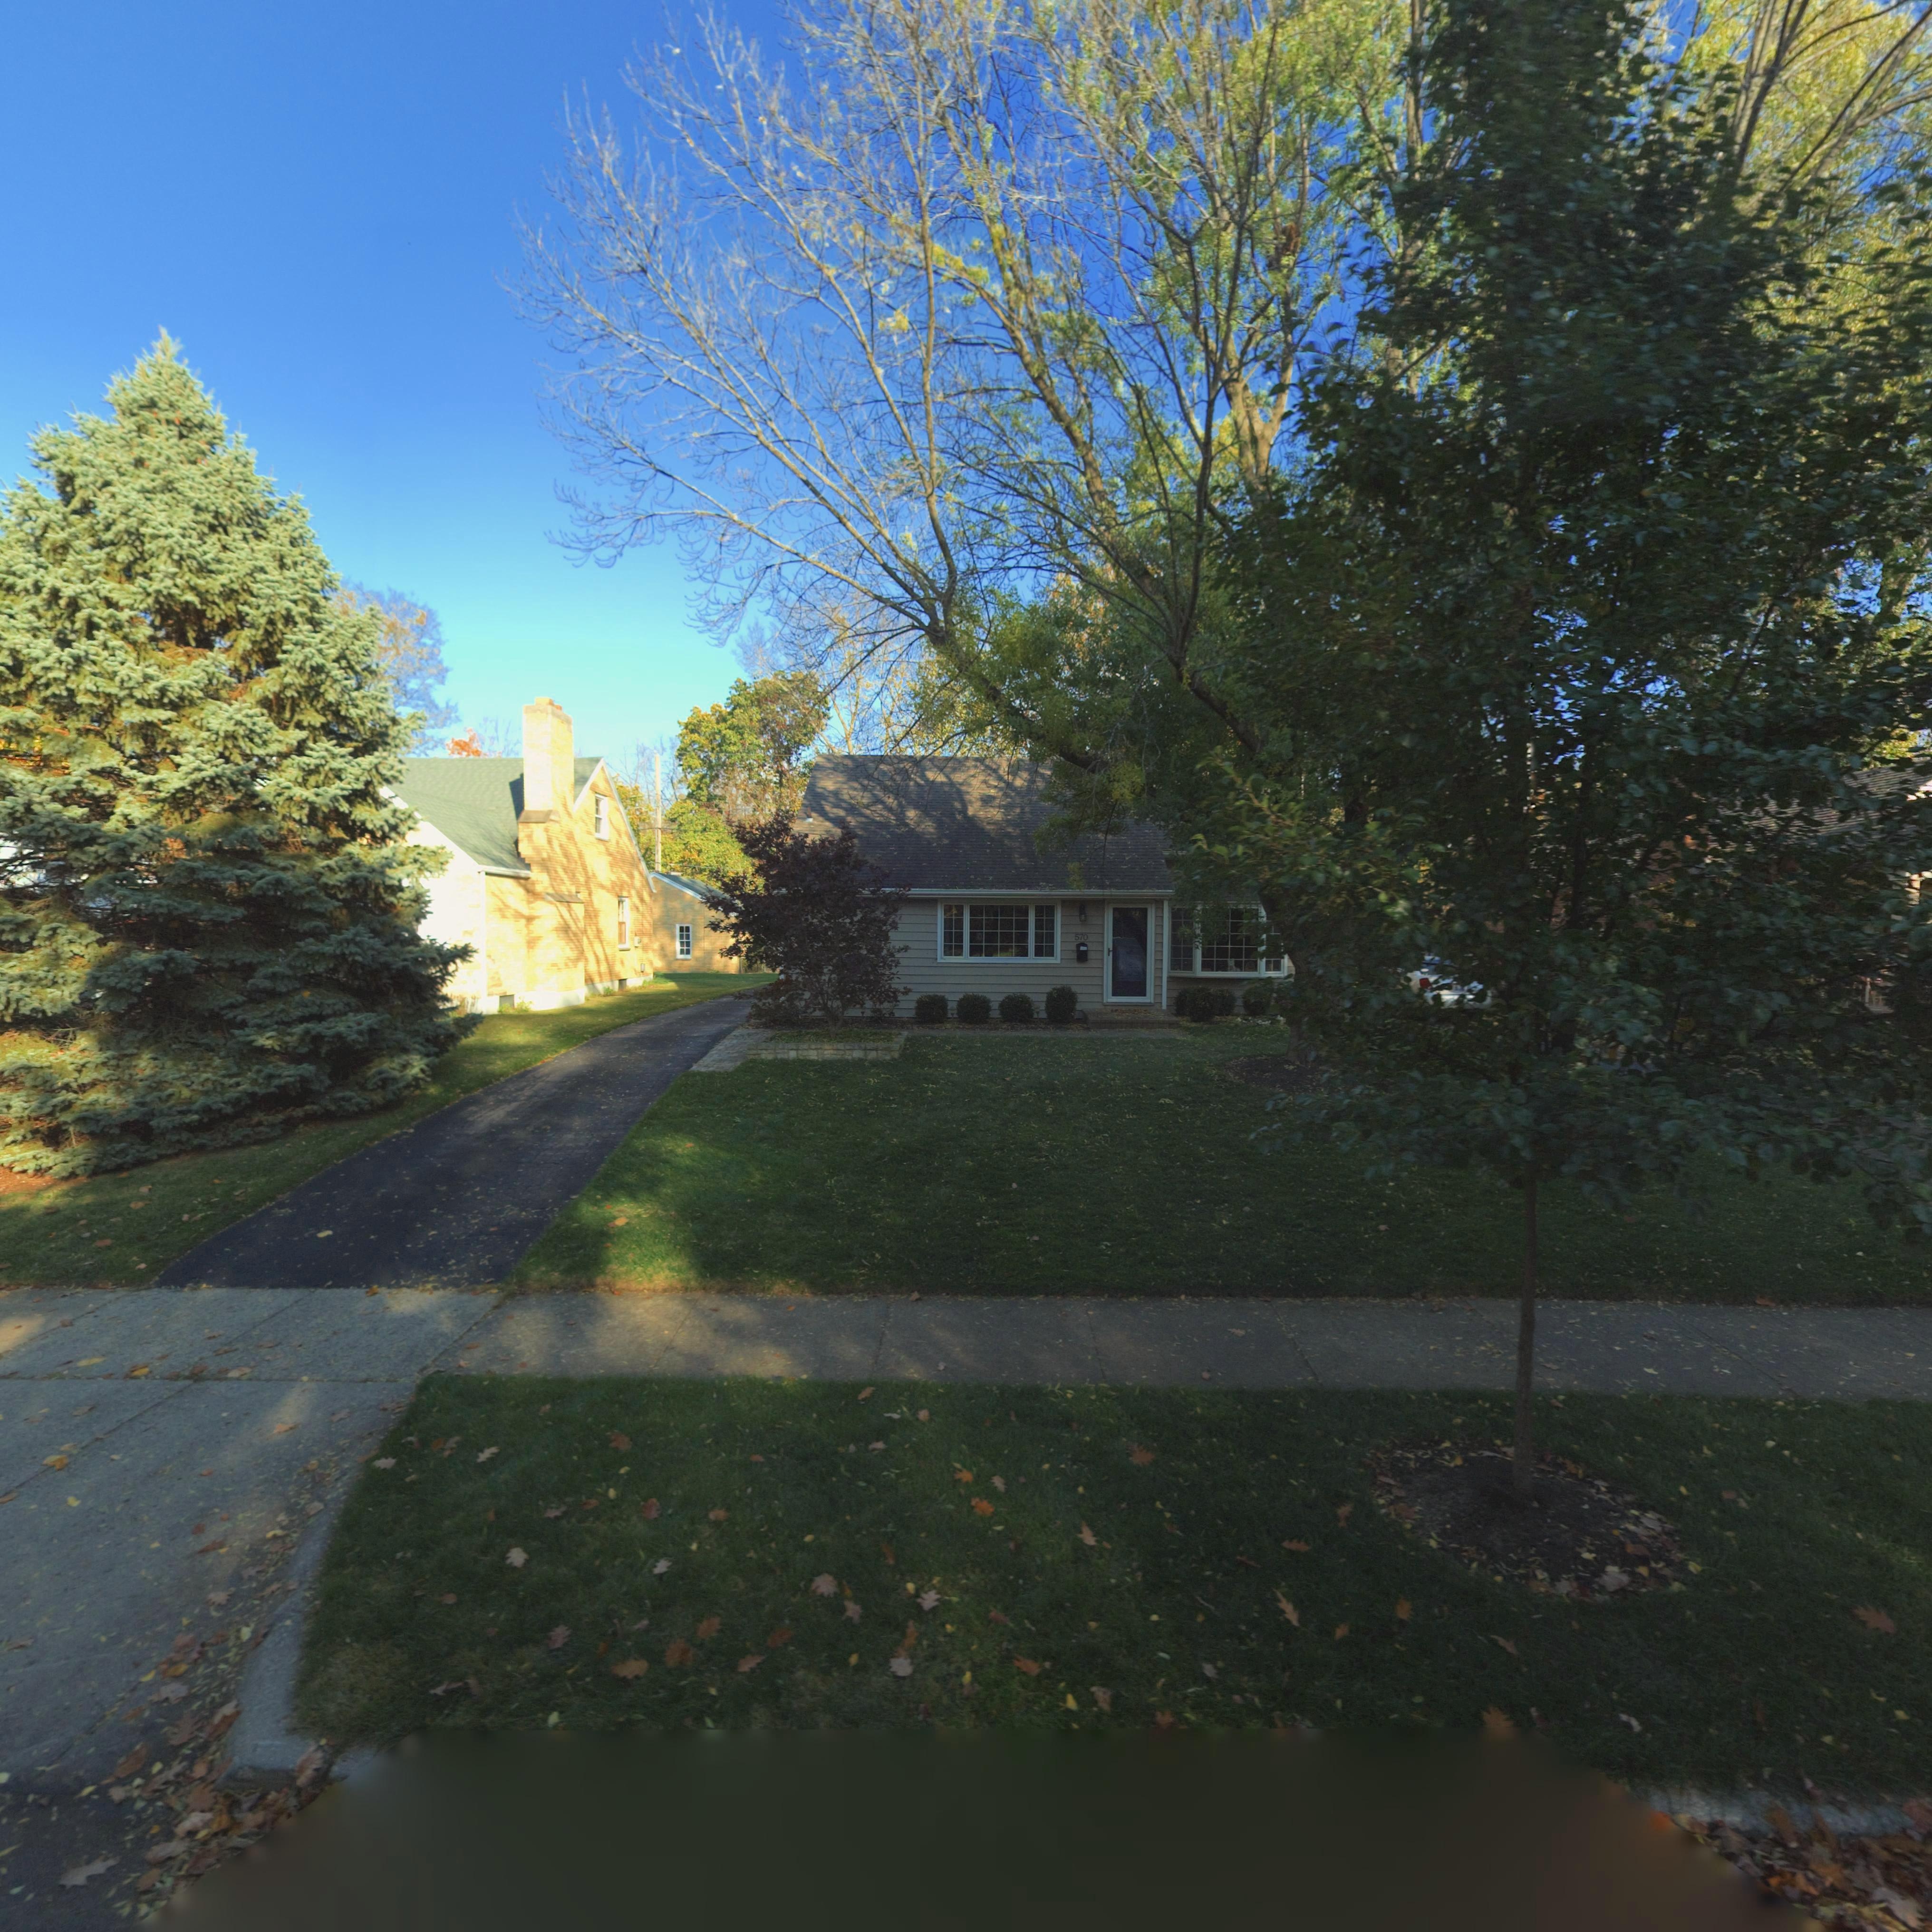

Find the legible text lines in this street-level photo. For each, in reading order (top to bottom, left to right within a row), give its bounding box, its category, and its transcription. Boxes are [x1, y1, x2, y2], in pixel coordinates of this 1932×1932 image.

[1073, 933, 1088, 941] StreetNumber: 570